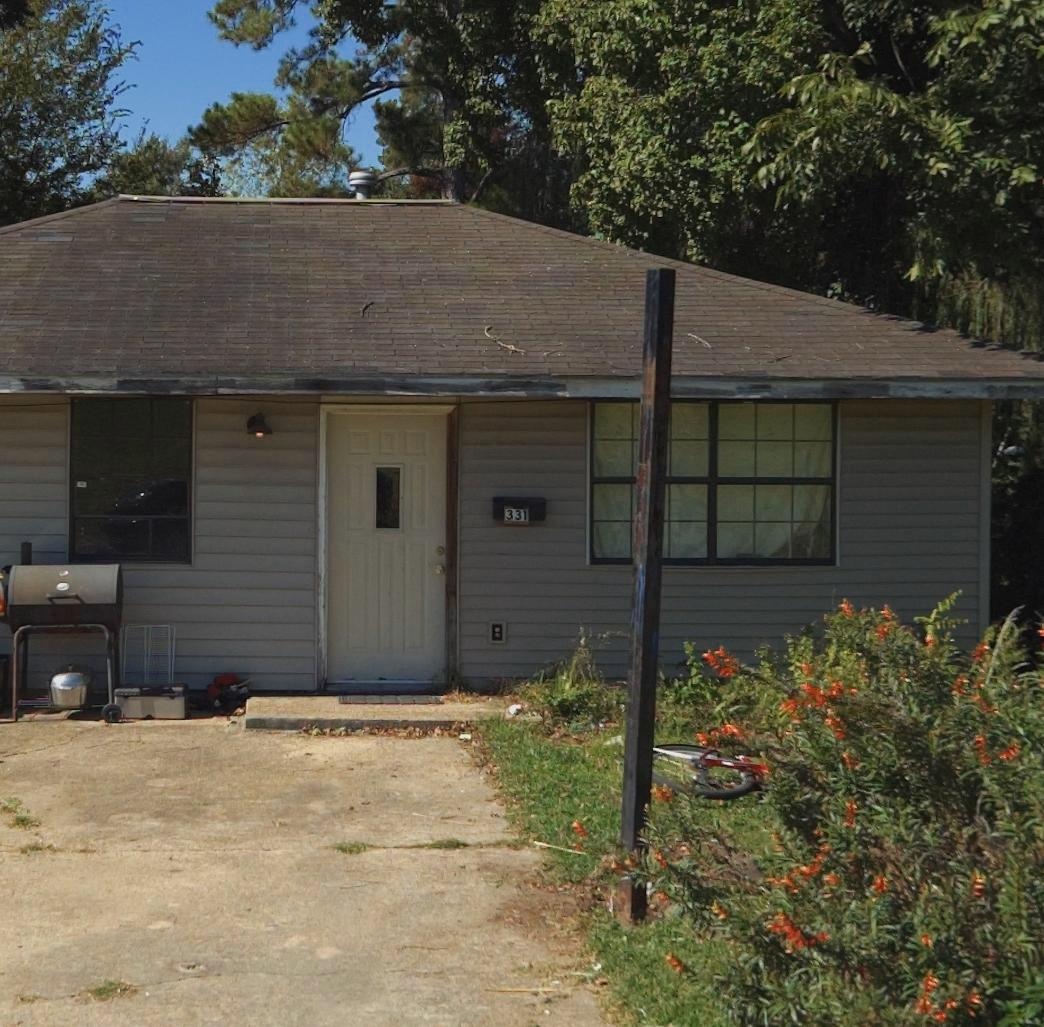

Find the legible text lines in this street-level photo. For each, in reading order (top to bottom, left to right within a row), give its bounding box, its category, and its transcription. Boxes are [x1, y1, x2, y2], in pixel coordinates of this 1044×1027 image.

[506, 509, 528, 521] StreetNumber: 331